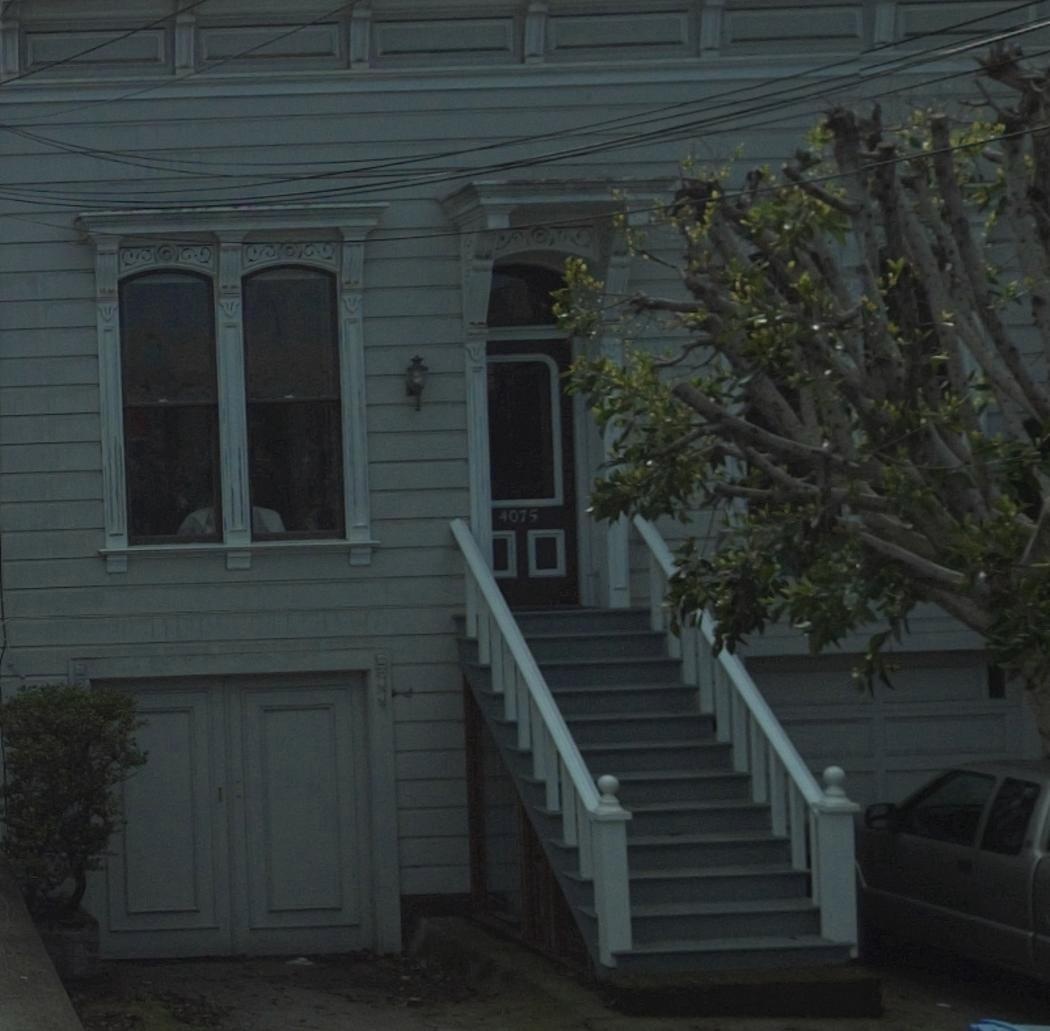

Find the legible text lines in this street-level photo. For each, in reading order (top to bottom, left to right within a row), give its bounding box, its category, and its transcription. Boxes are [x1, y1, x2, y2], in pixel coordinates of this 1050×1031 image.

[497, 509, 541, 524] StreetNumber: 4075